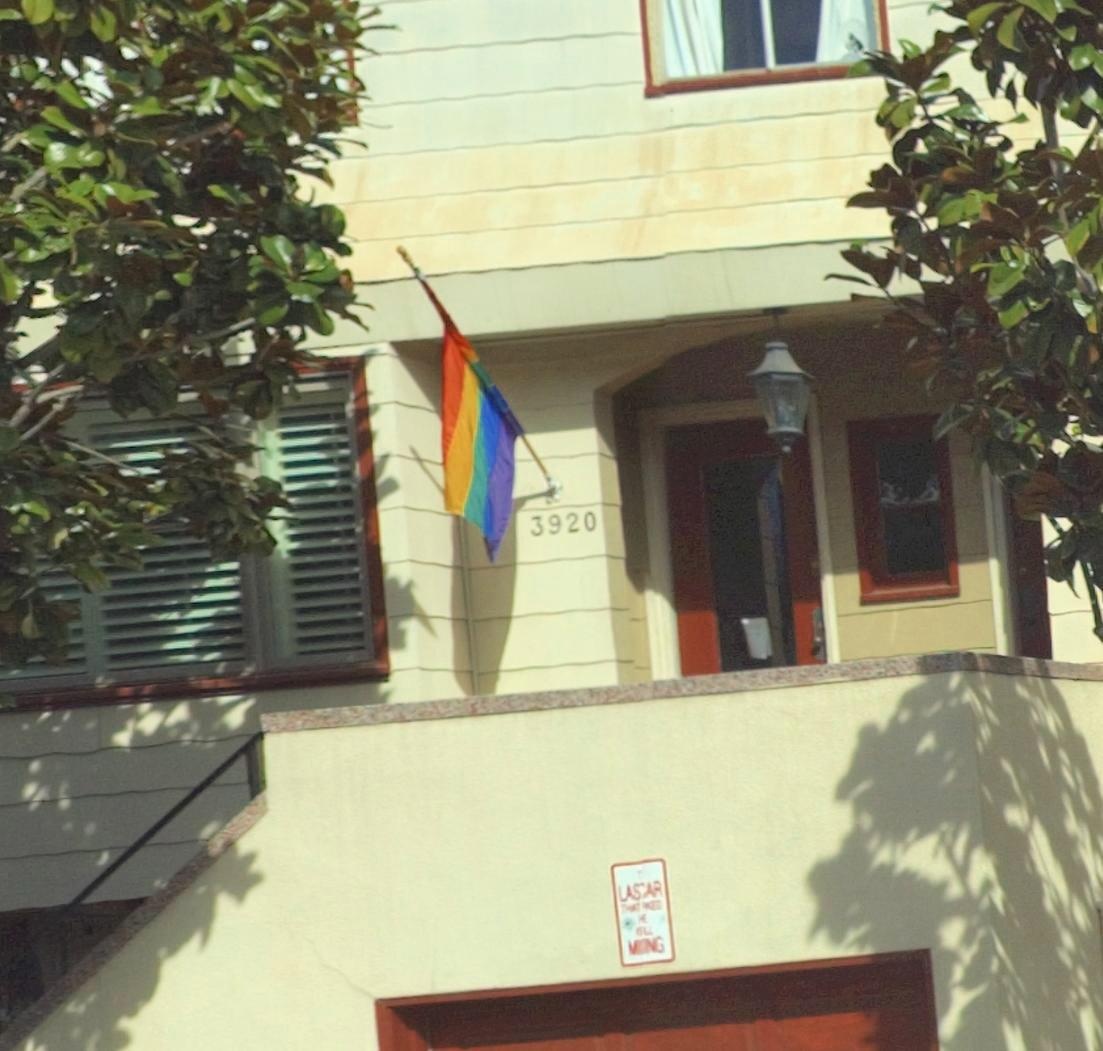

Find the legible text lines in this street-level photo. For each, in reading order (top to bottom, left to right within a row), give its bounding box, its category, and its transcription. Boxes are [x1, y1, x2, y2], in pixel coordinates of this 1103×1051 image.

[529, 509, 597, 539] StreetNumber: 3920
[617, 878, 667, 902] None: LAS*AR
[626, 935, 667, 958] None: M***NG